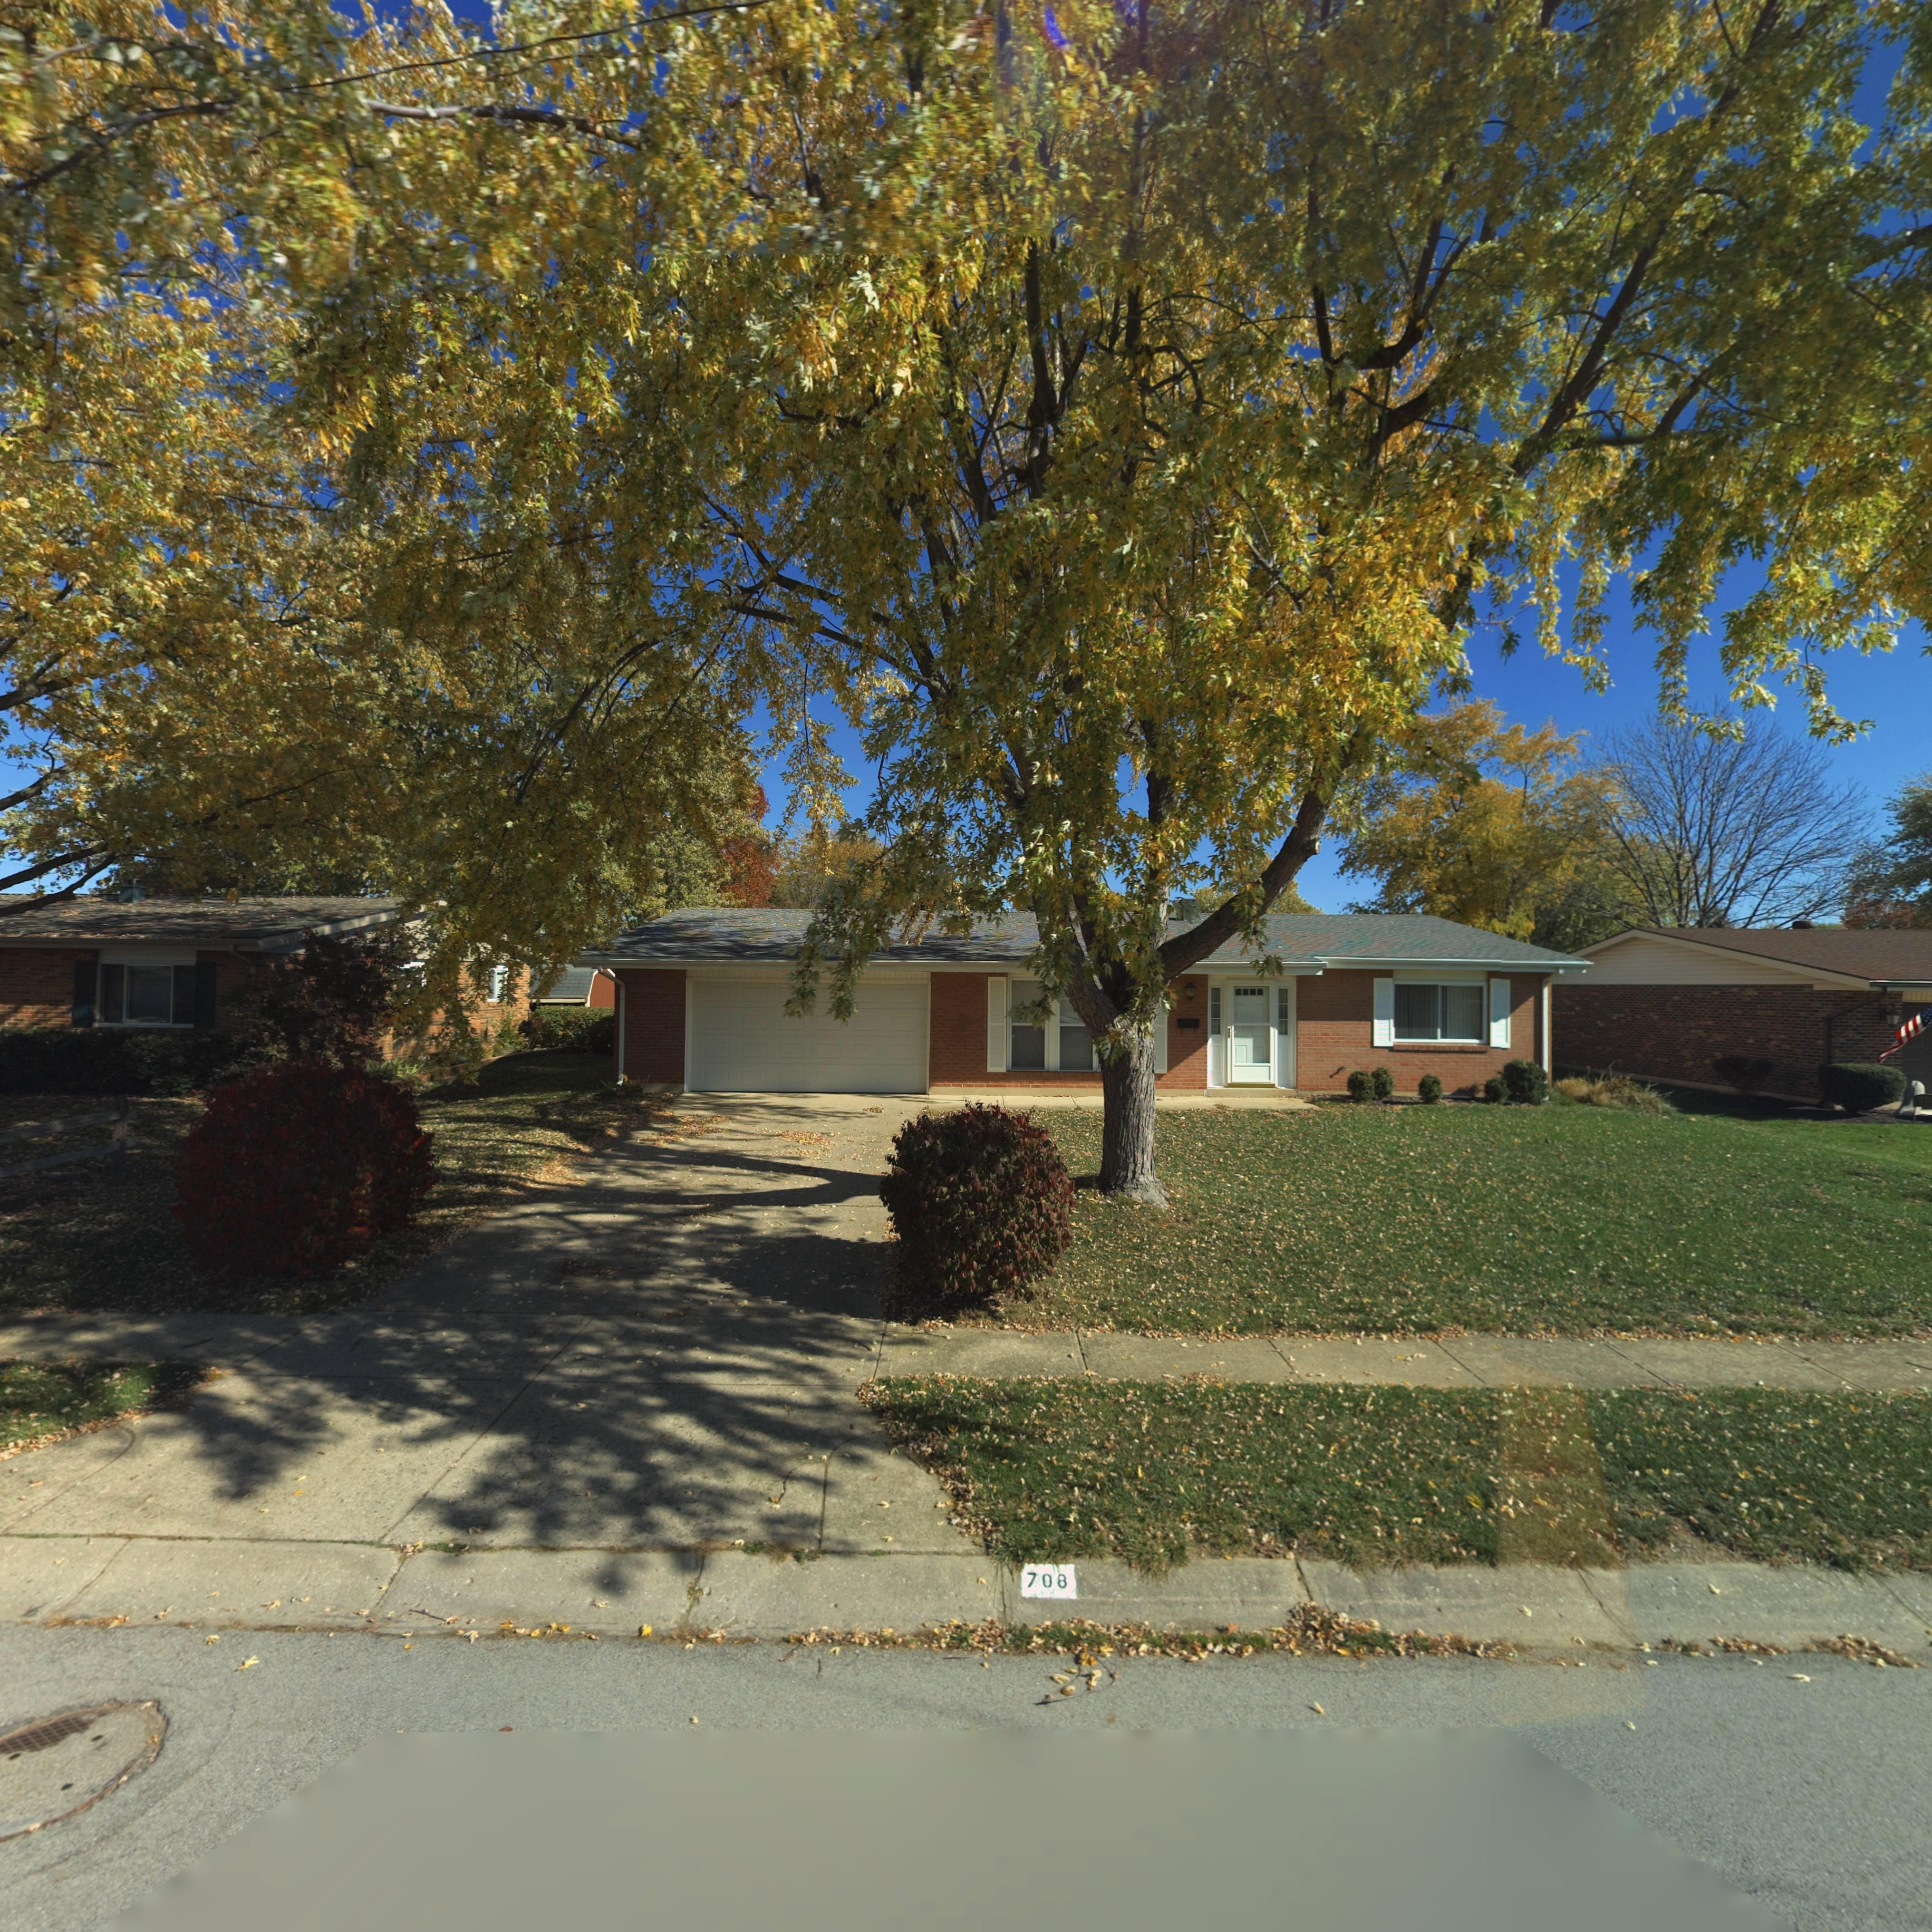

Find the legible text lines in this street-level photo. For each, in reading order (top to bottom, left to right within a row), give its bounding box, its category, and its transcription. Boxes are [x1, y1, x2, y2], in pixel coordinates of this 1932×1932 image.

[1026, 1572, 1067, 1588] StreetNumber: 708